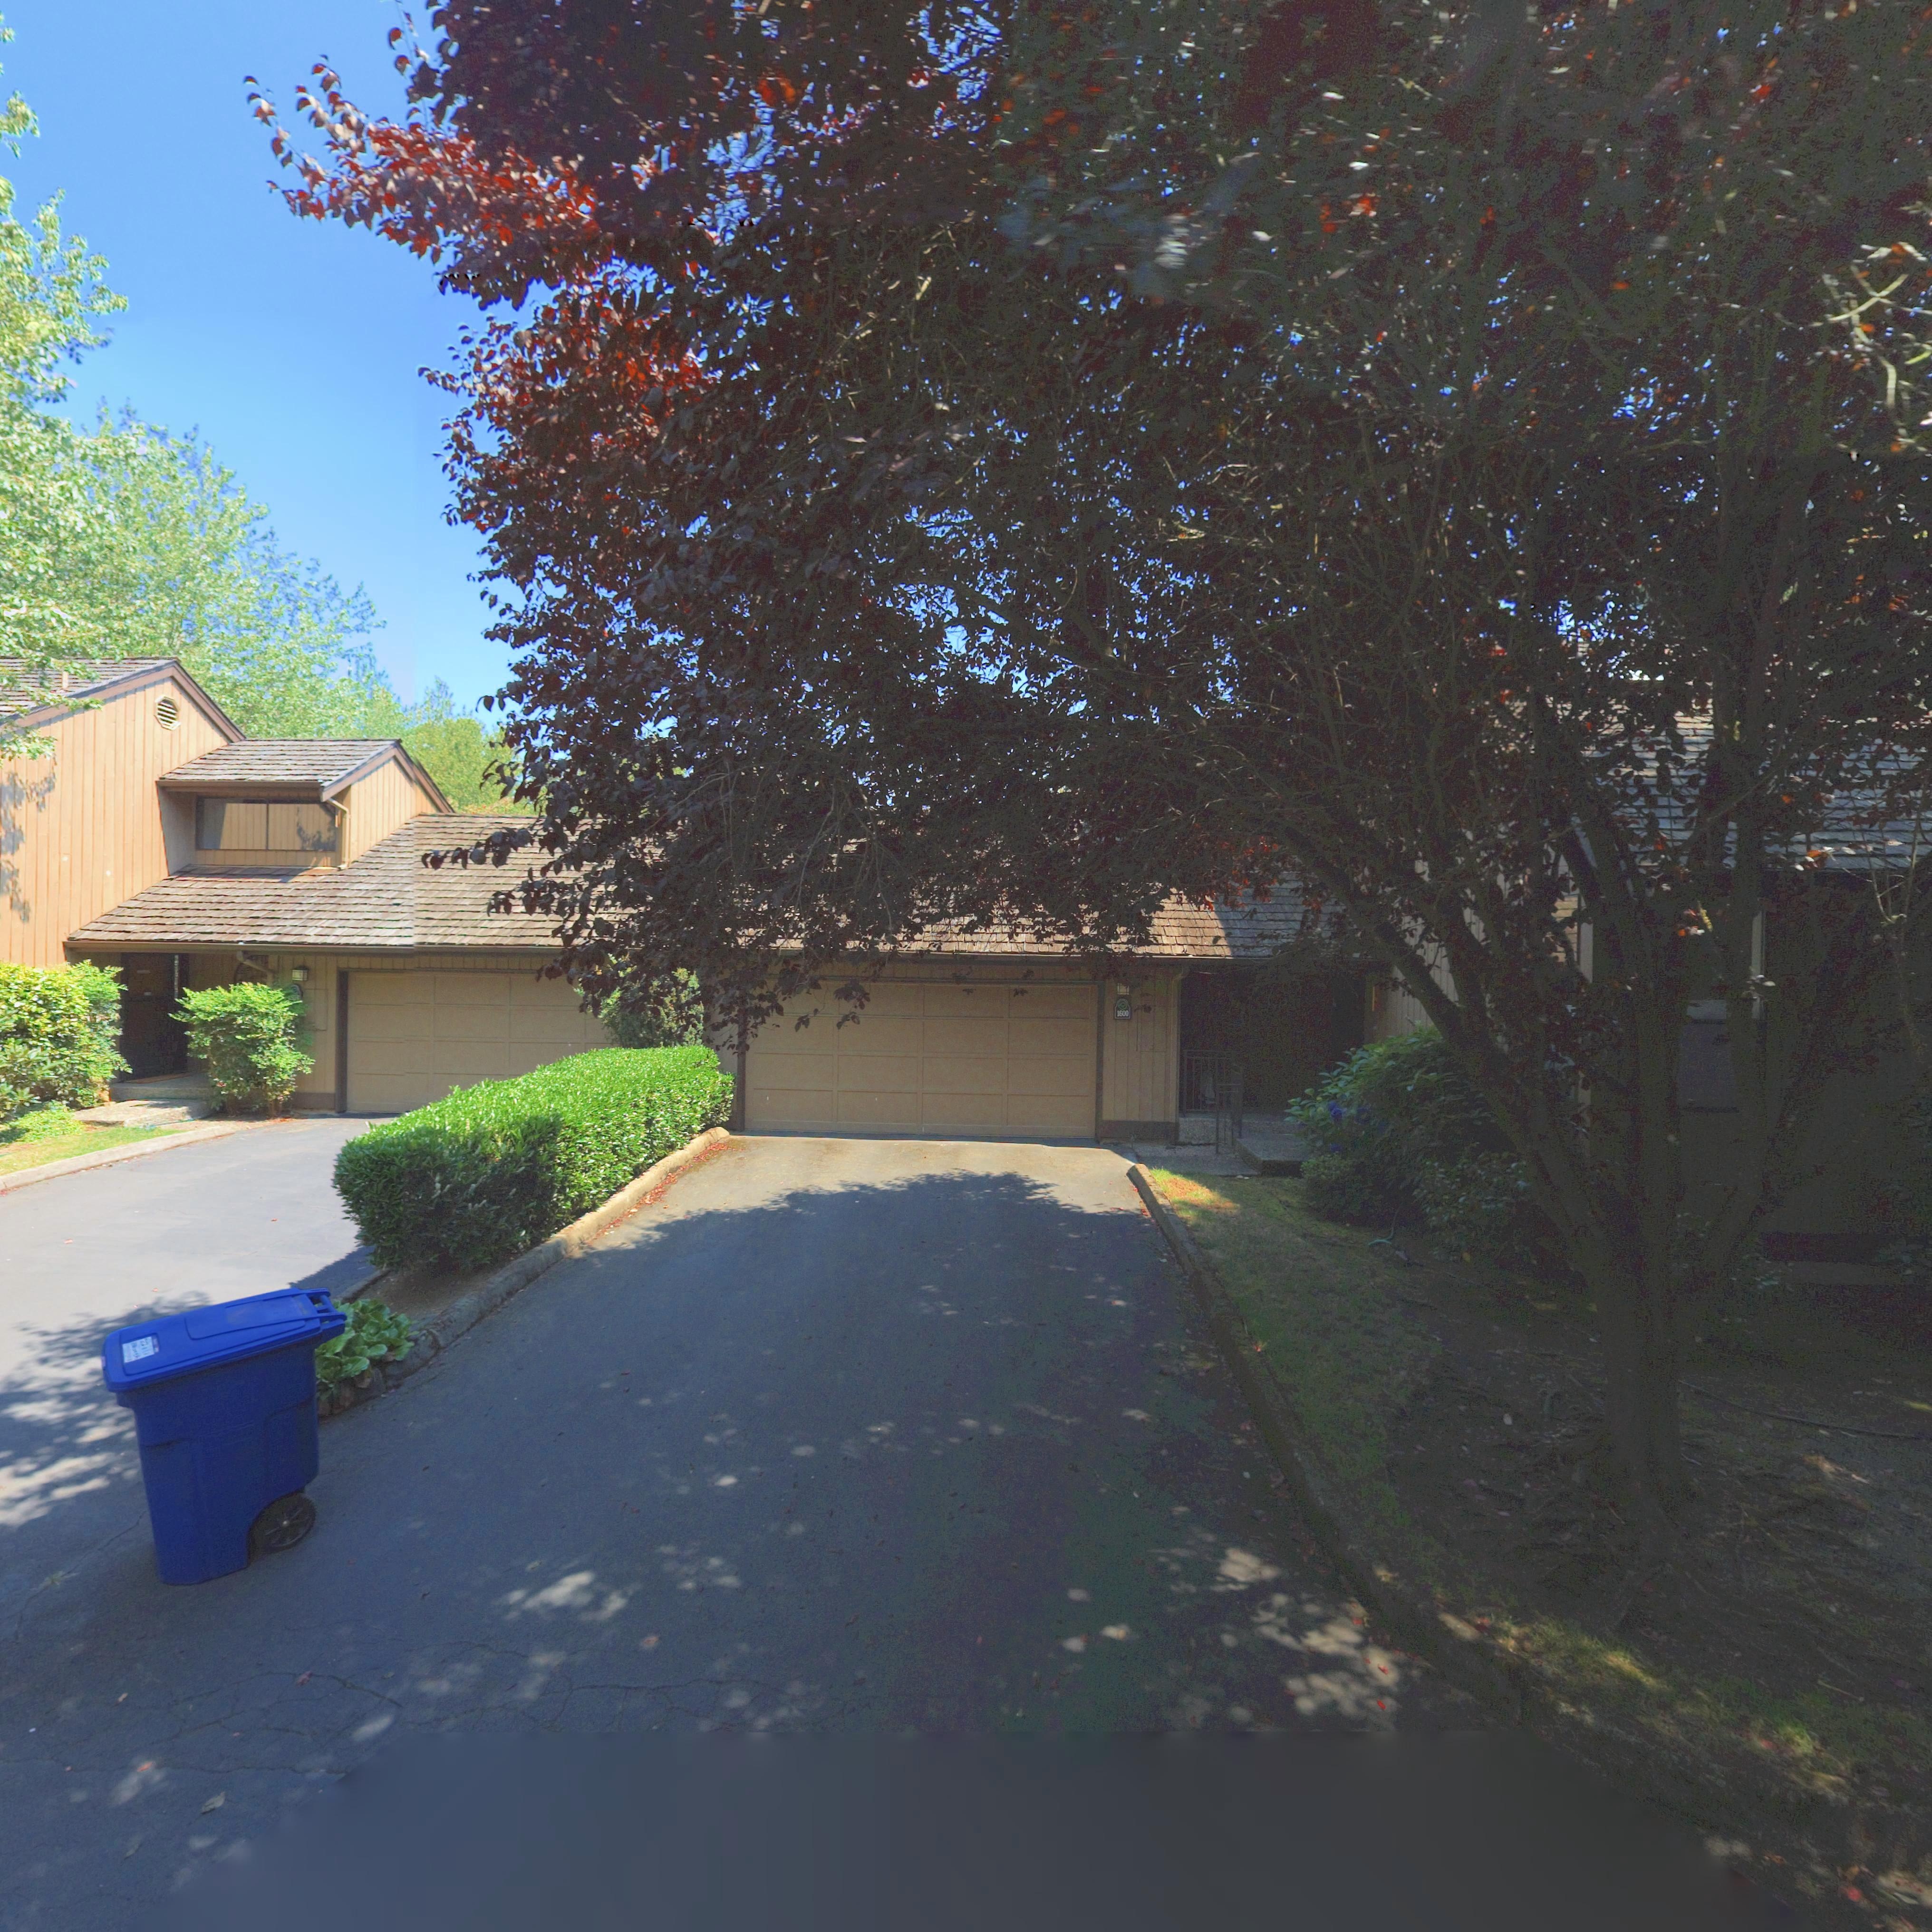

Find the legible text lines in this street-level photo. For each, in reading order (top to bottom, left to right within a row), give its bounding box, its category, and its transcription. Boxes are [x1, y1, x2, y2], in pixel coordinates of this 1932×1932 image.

[1116, 1010, 1129, 1017] StreetNumber: 1600